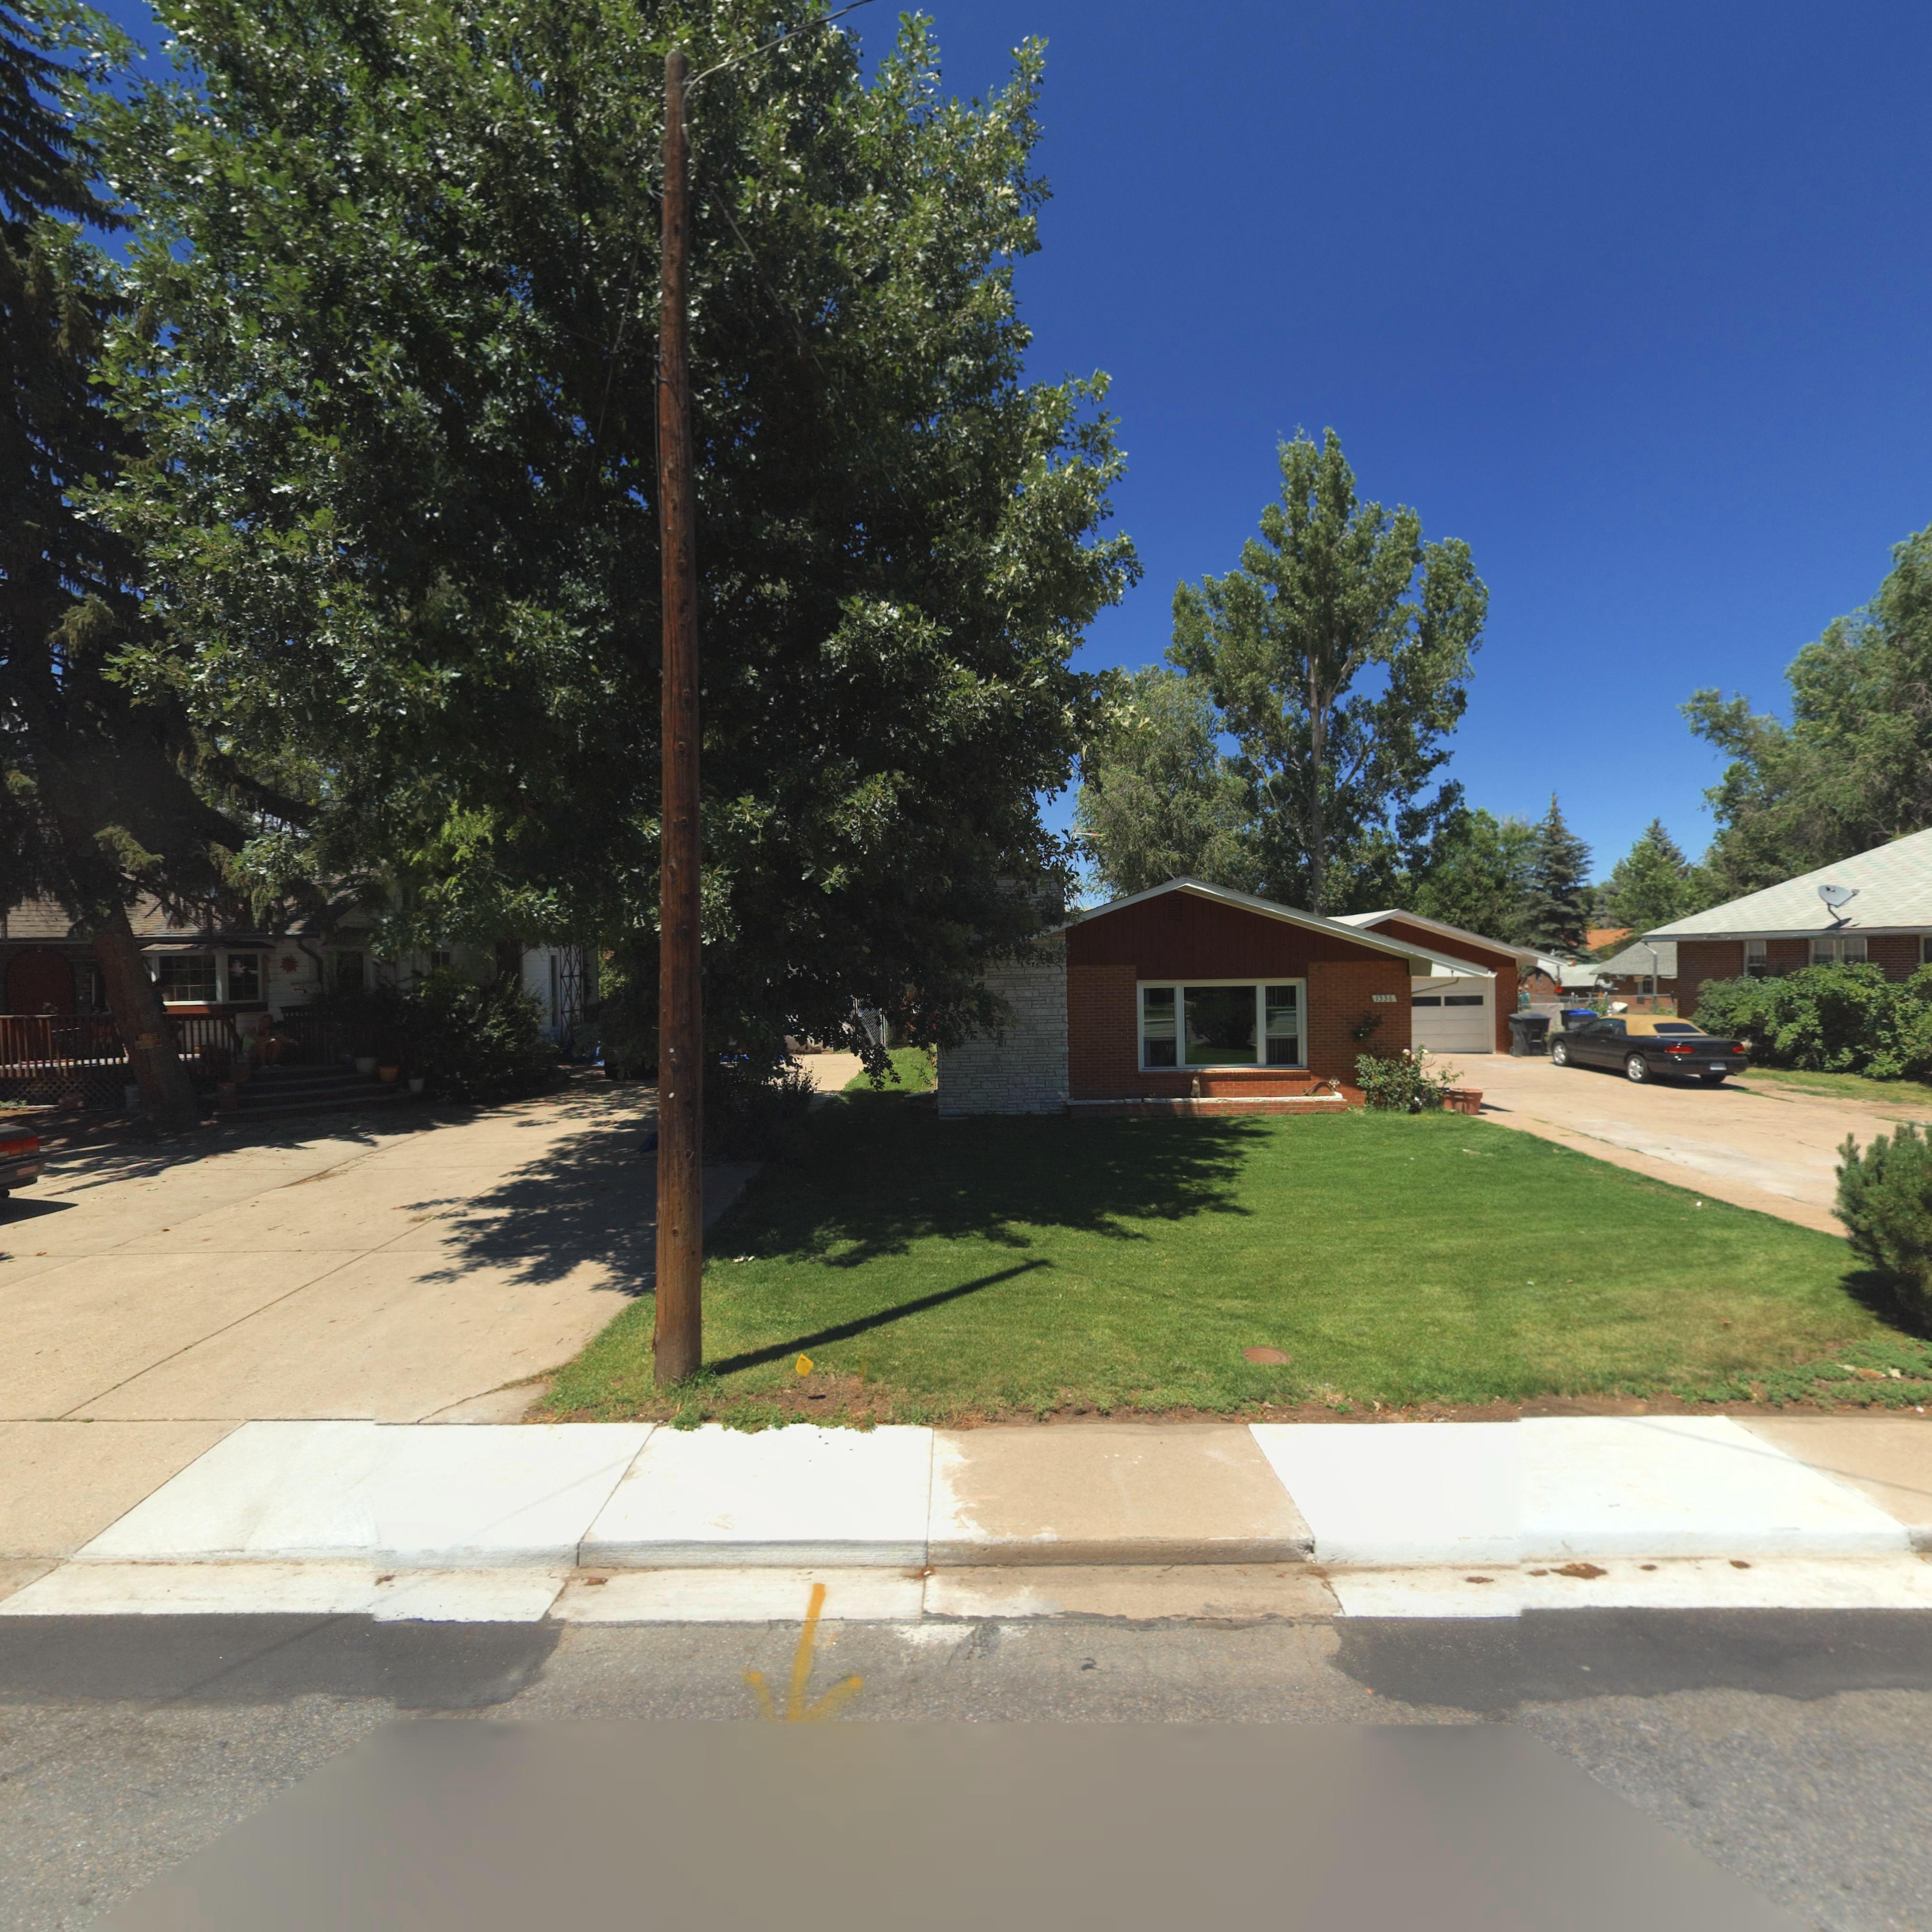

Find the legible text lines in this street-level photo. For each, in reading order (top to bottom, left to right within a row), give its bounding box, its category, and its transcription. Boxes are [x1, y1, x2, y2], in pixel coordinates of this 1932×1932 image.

[1375, 995, 1392, 1002] StreetNumber: 1336